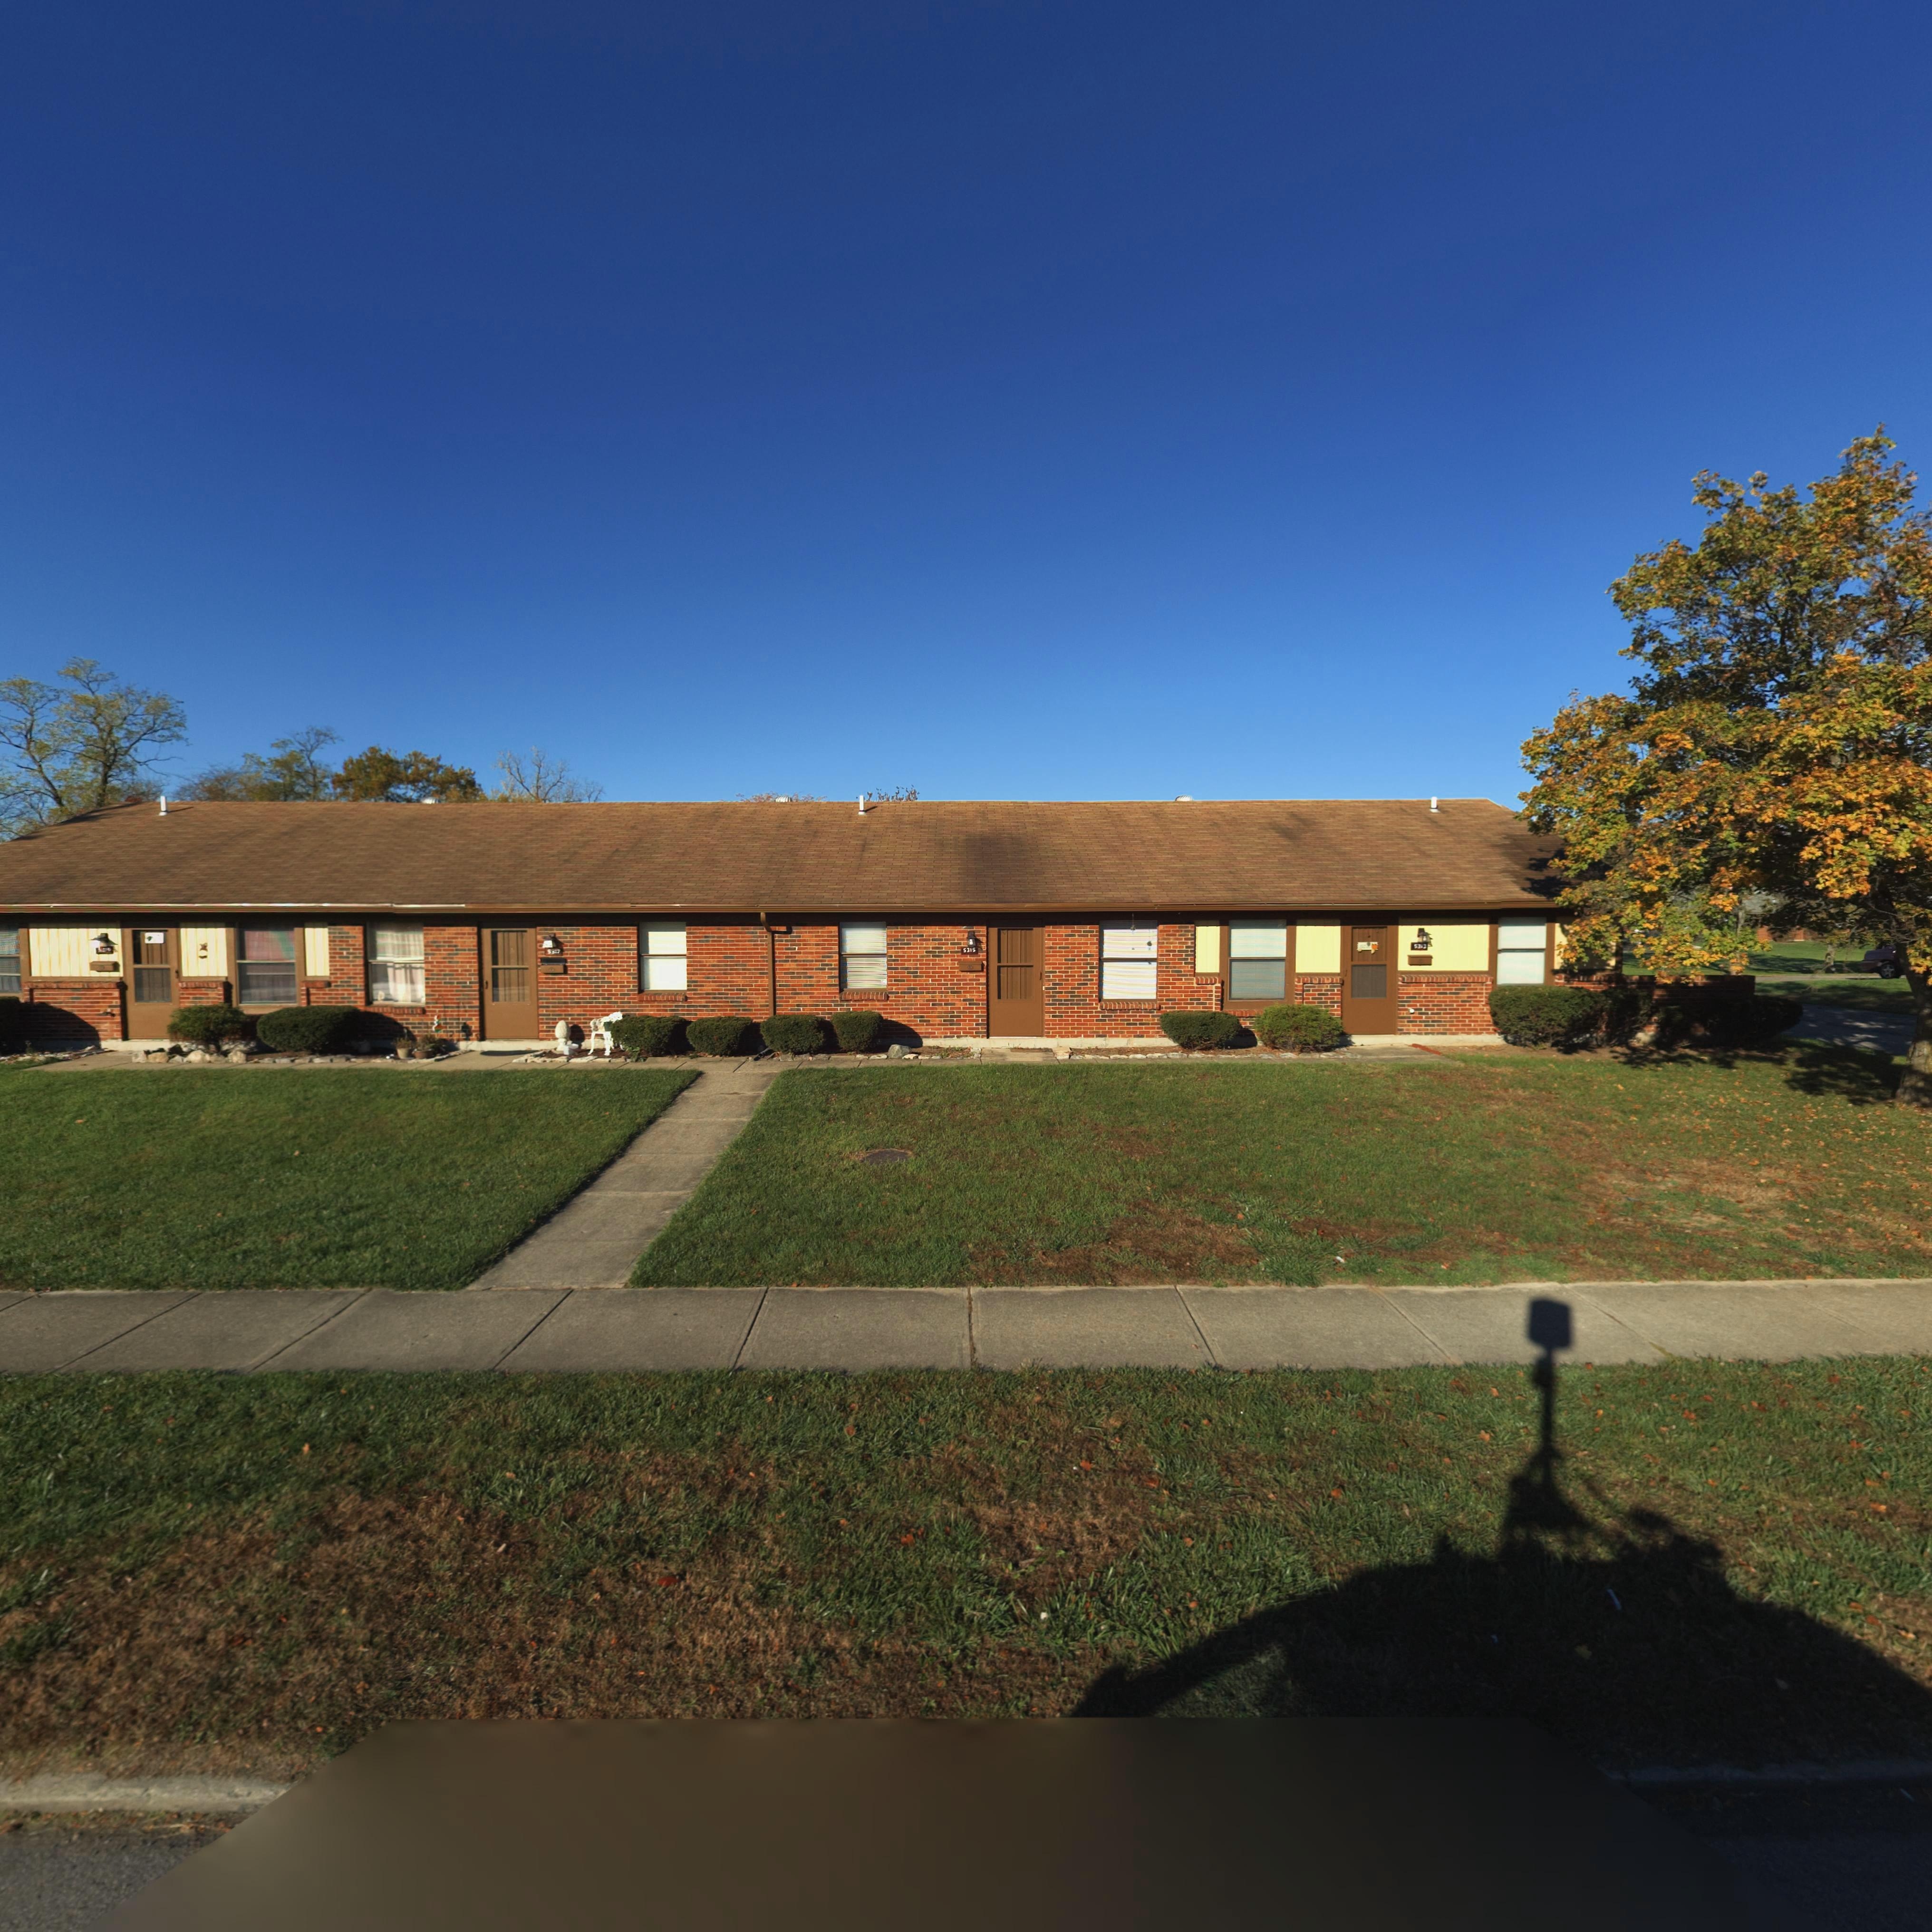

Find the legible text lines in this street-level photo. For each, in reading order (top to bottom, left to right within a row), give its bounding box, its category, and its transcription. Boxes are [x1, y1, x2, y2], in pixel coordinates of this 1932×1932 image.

[1413, 944, 1427, 949] StreetNumber: 5313
[96, 947, 111, 954] StreetNumber: 5319
[546, 948, 561, 955] StreetNumber: 5317
[962, 947, 976, 954] StreetNumber: 5315